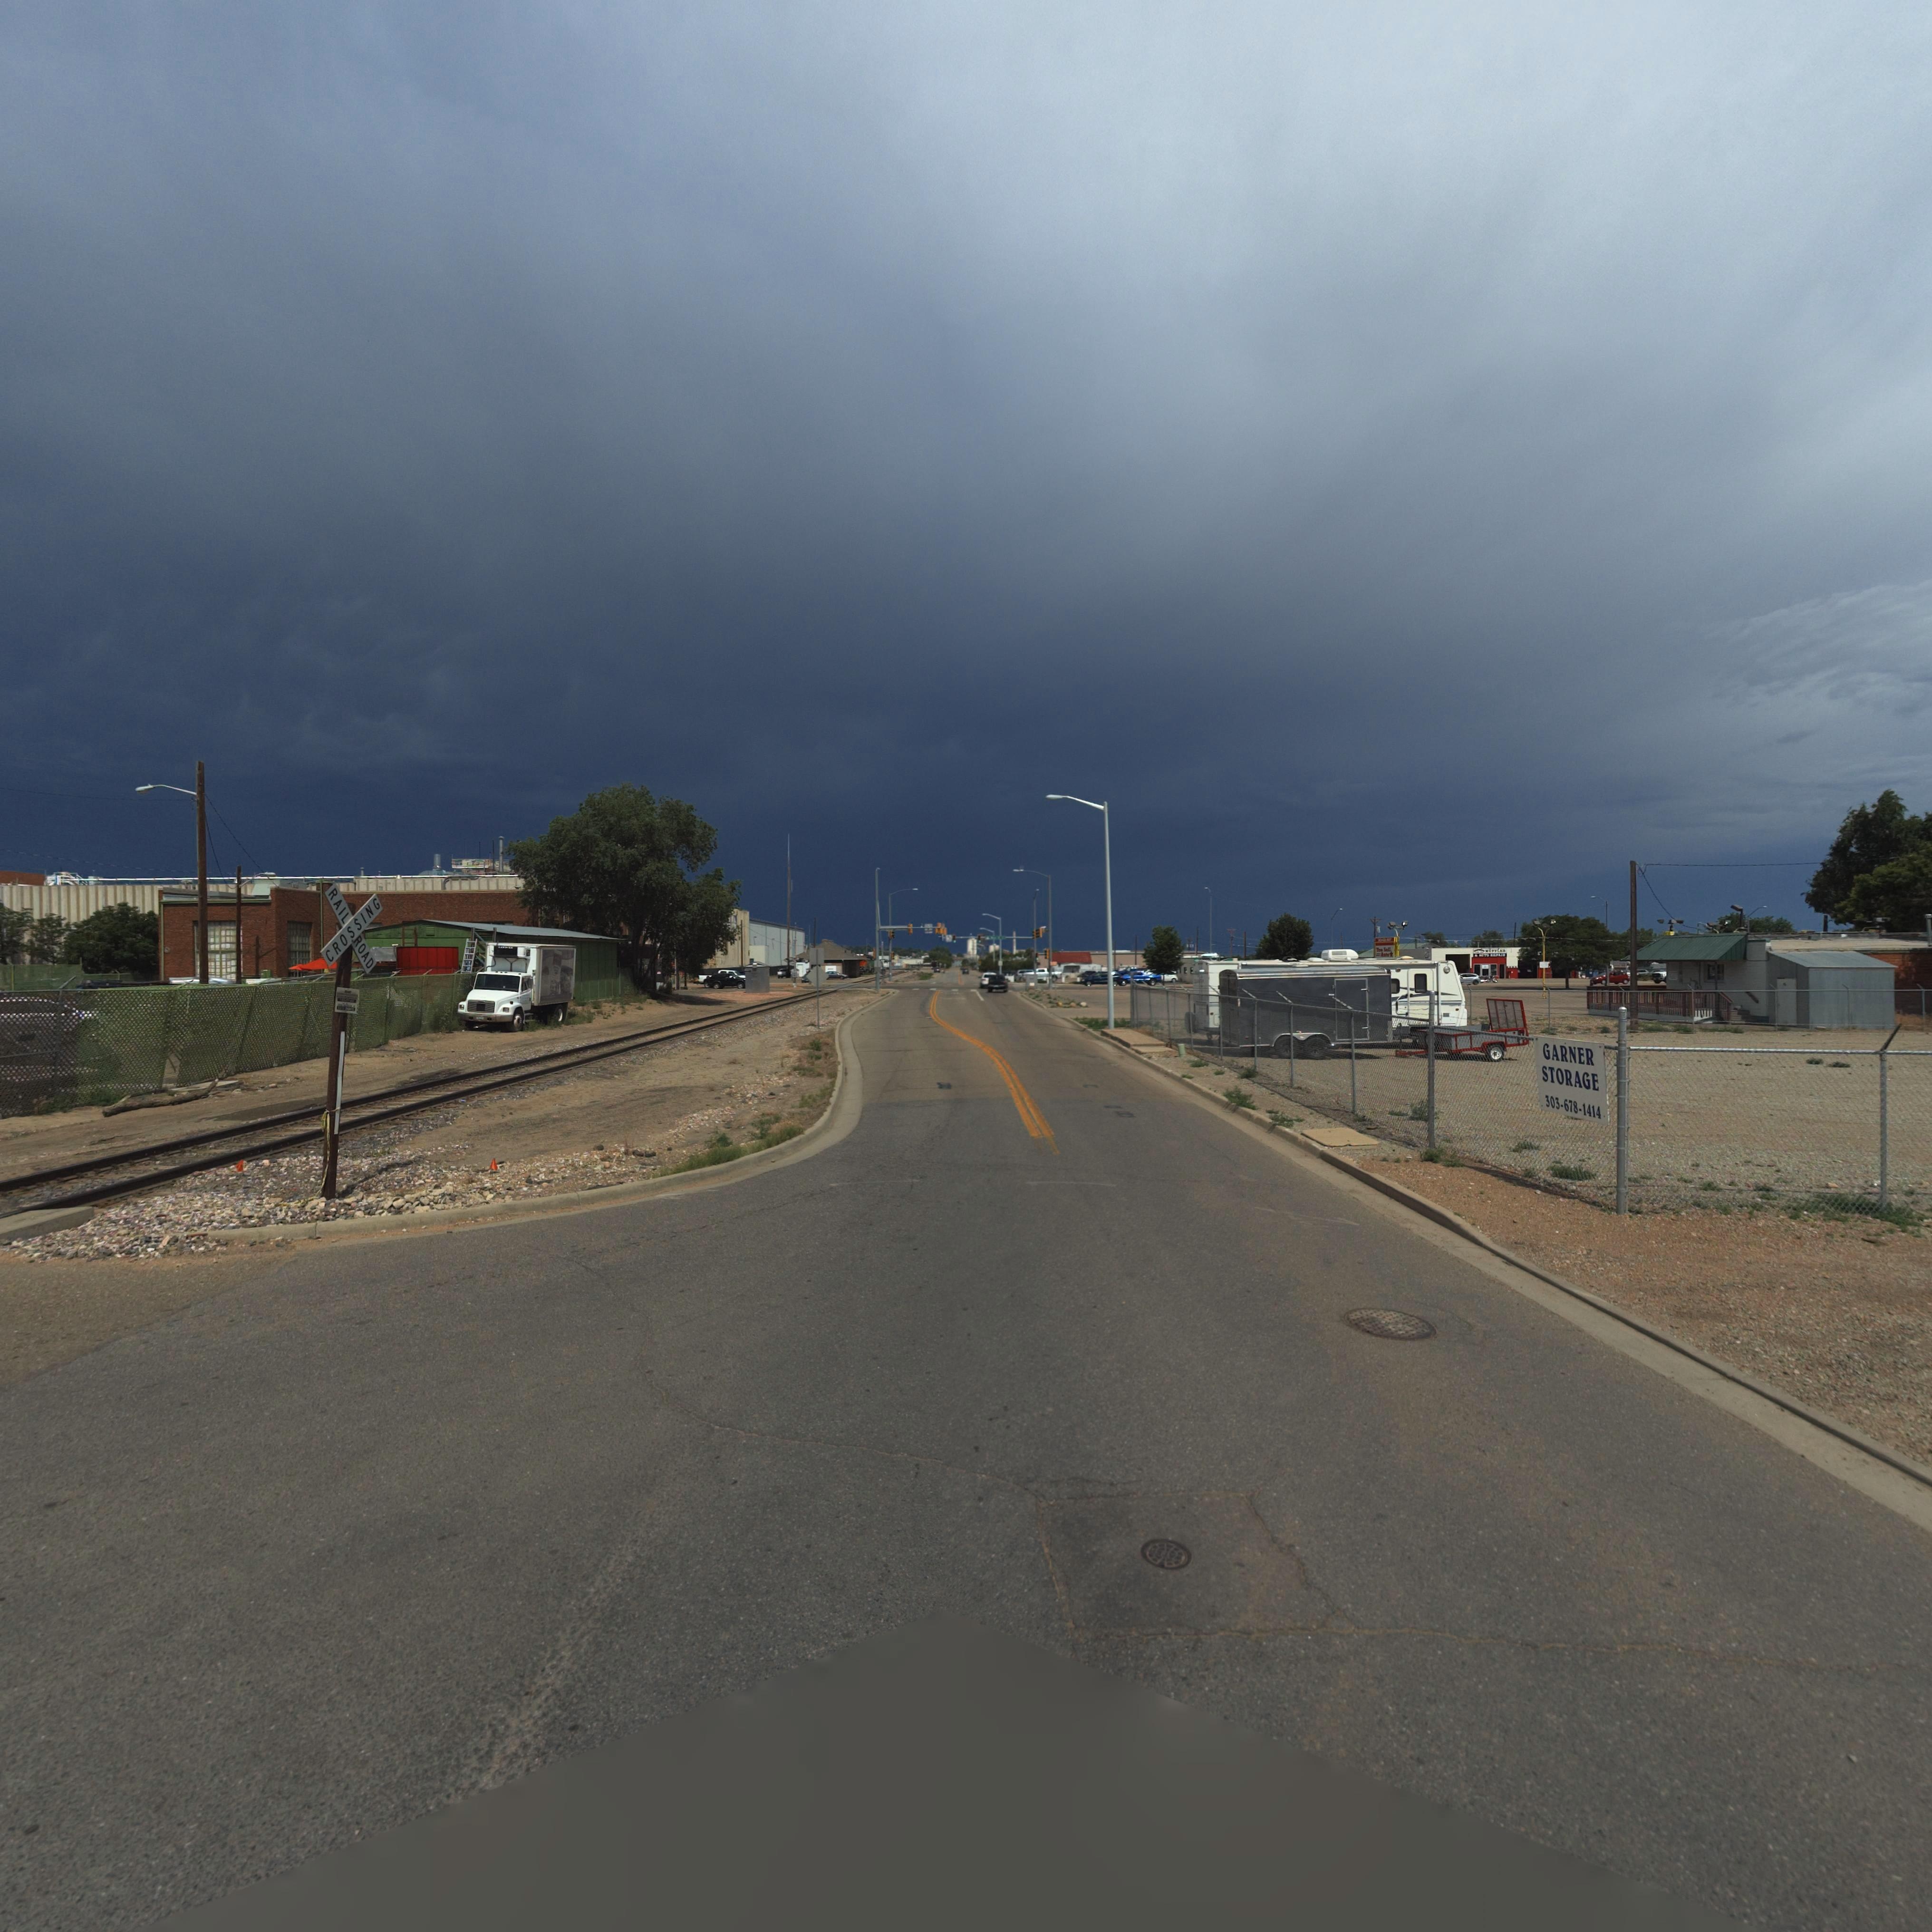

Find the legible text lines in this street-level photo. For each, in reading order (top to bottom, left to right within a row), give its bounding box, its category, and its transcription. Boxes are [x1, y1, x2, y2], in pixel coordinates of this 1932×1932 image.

[1474, 953, 1505, 957] BusinessName: * **TO *******
[1485, 949, 1506, 952] BusinessName: MU******
[1542, 1043, 1594, 1066] BusinessName: GARNER
[1541, 1064, 1599, 1092] BusinessName: STORAGE